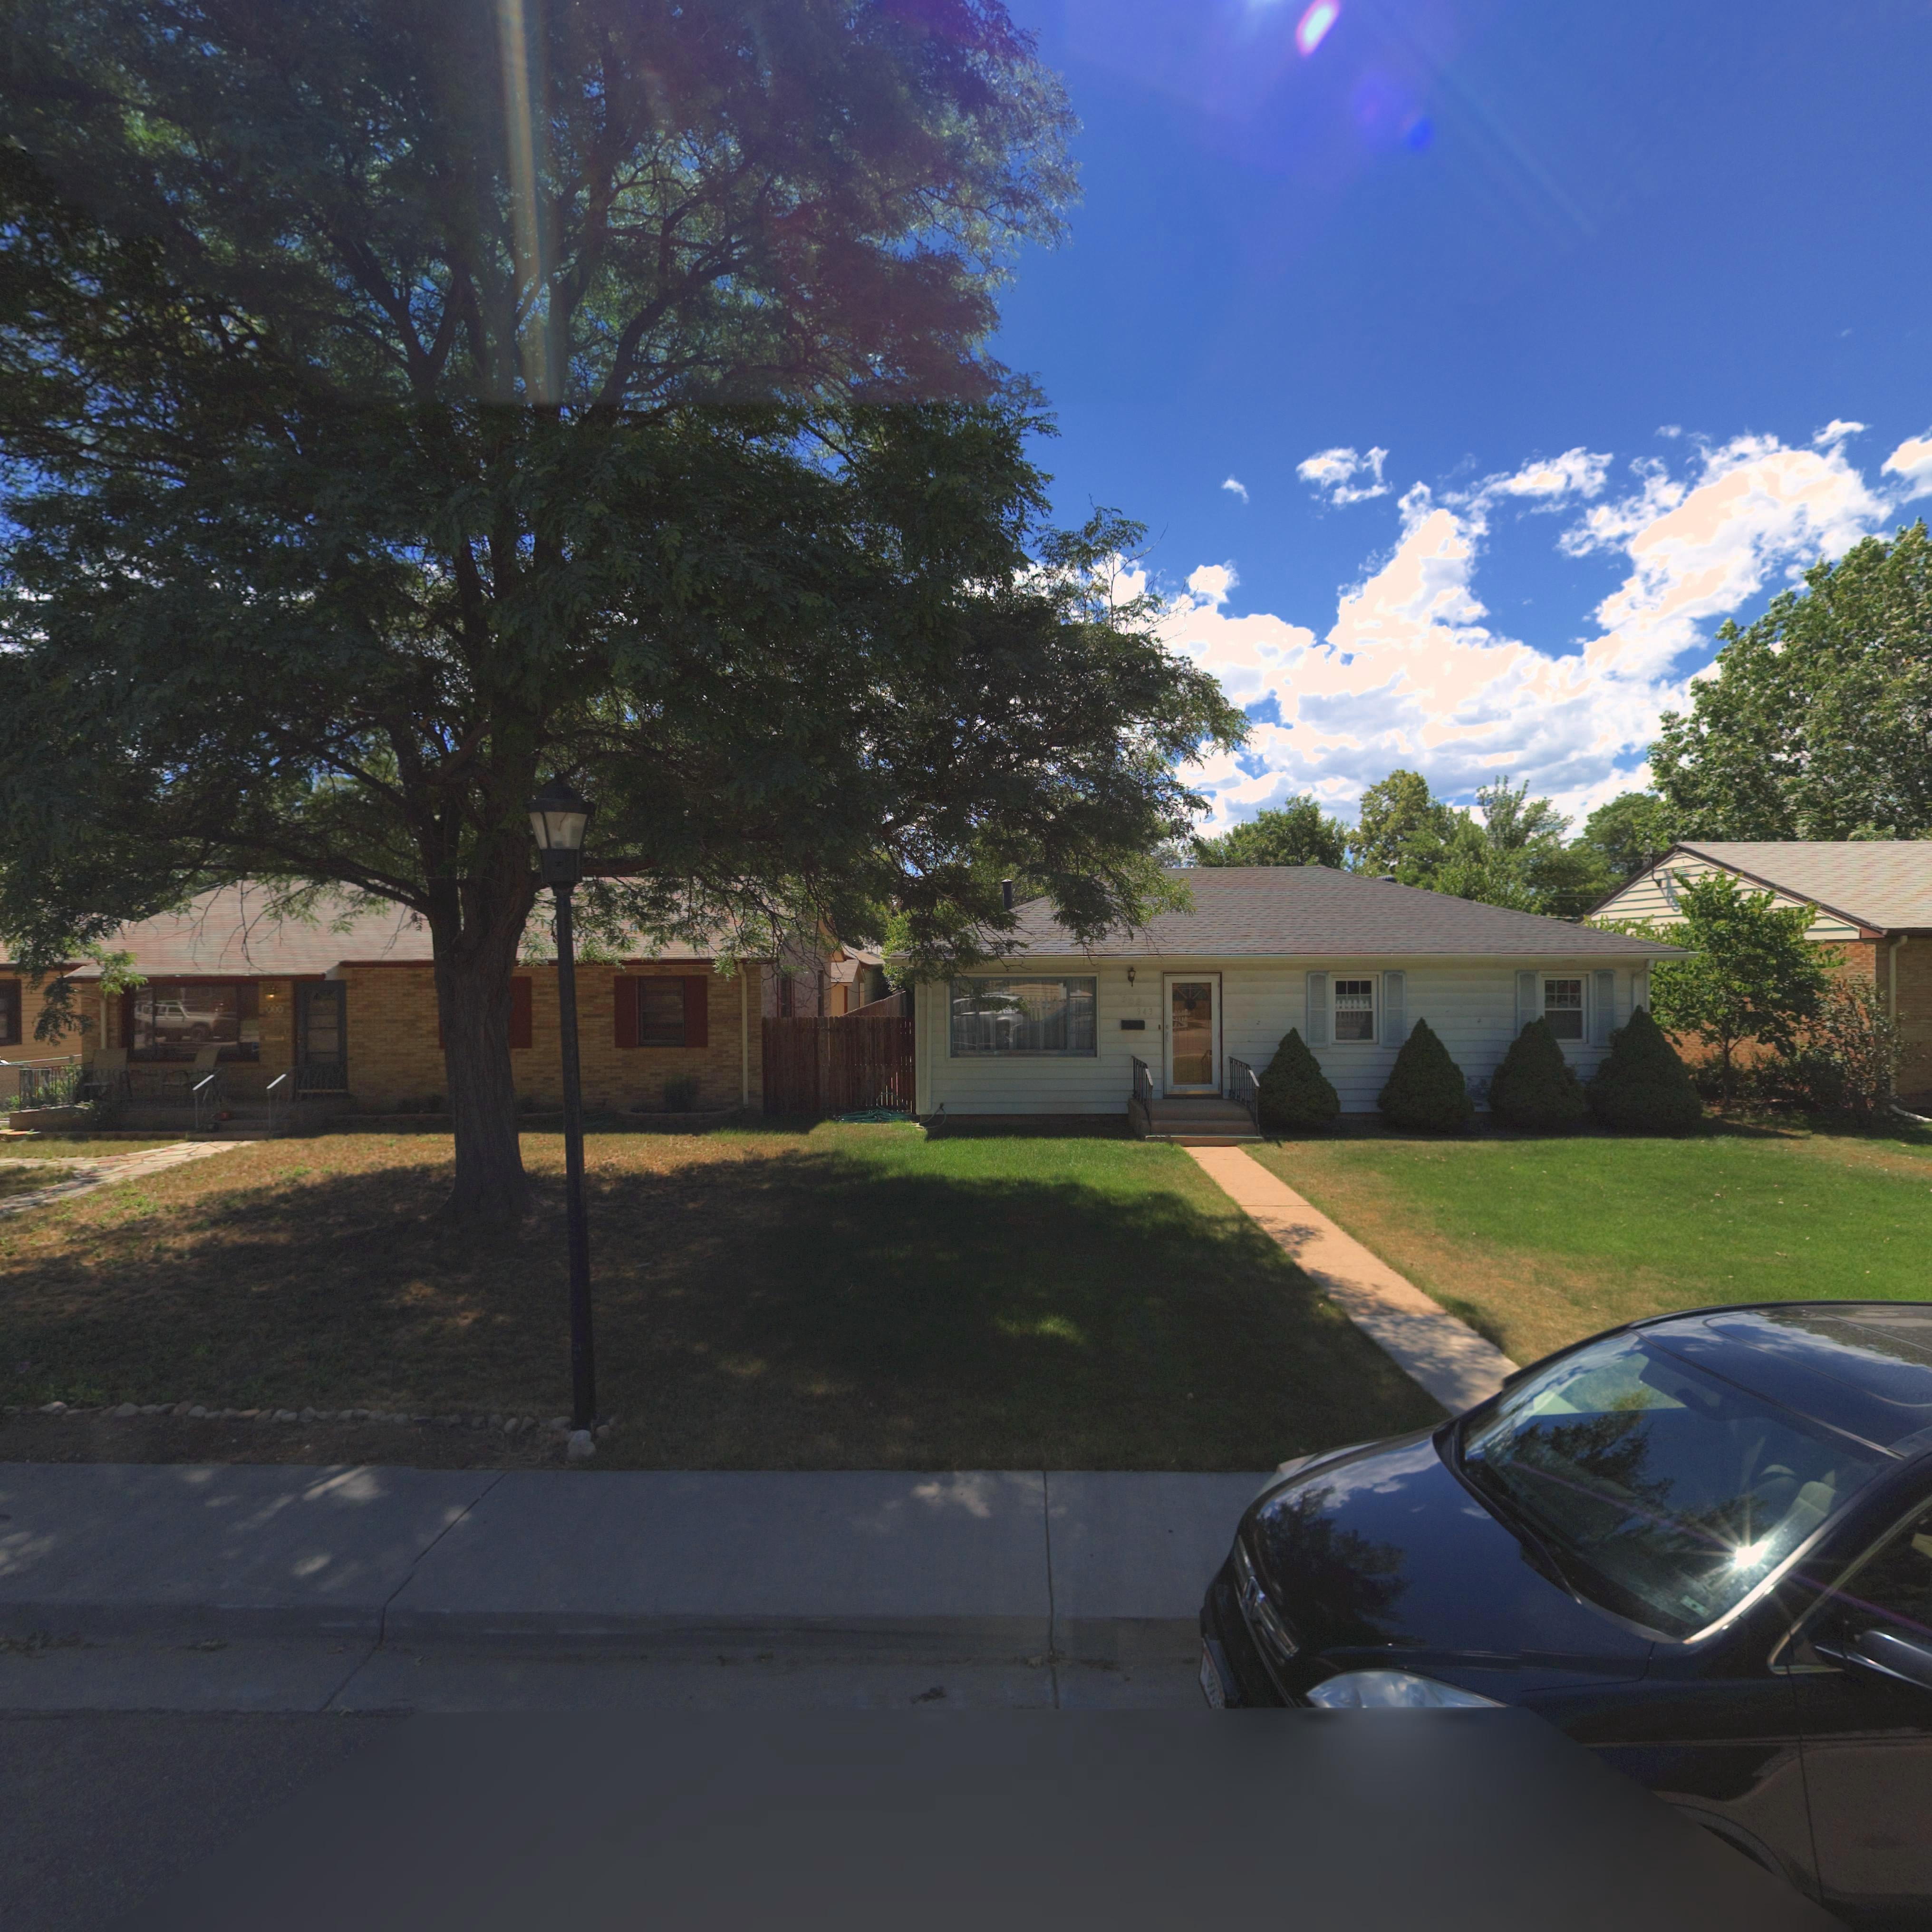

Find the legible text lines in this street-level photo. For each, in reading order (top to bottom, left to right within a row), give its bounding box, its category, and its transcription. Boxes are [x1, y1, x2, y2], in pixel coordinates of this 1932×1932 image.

[1137, 1007, 1152, 1015] StreetNumber: 943